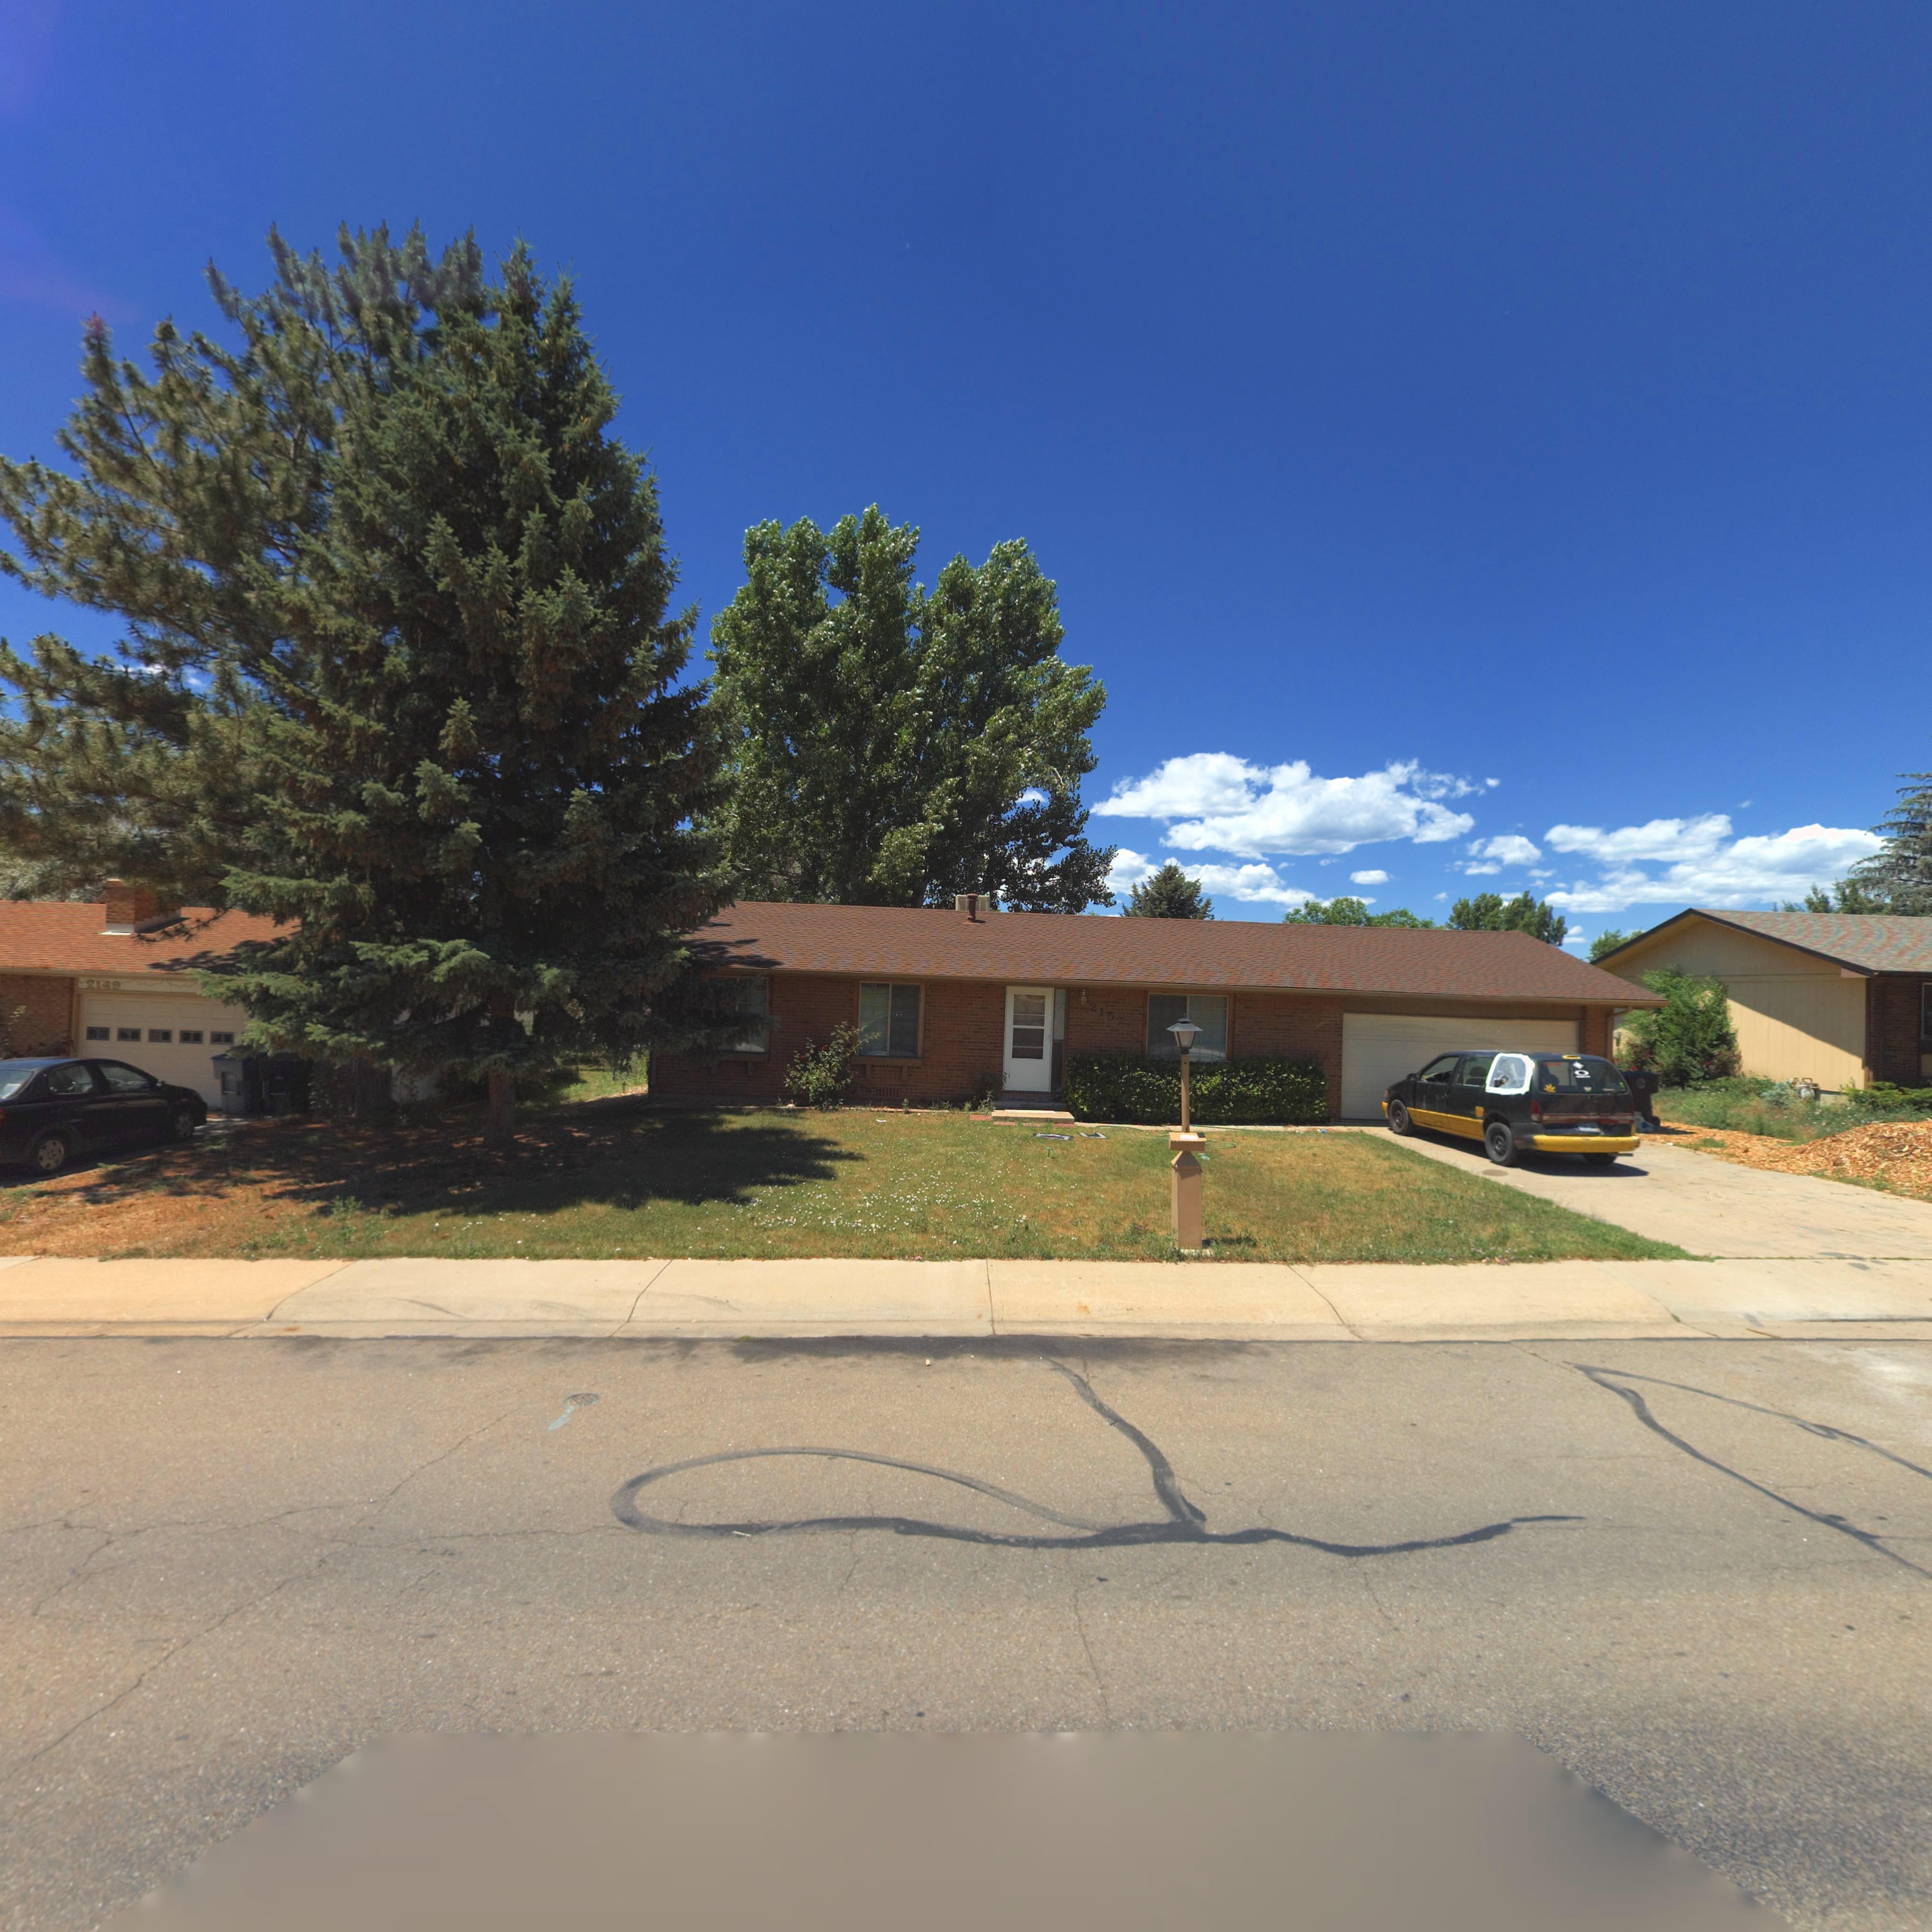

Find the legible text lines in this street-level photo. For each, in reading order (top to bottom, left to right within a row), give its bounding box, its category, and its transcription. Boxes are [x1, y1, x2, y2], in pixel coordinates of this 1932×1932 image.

[85, 978, 122, 990] StreetNumber: 2149
[1088, 1001, 1129, 1027] StreetNumber: 2152